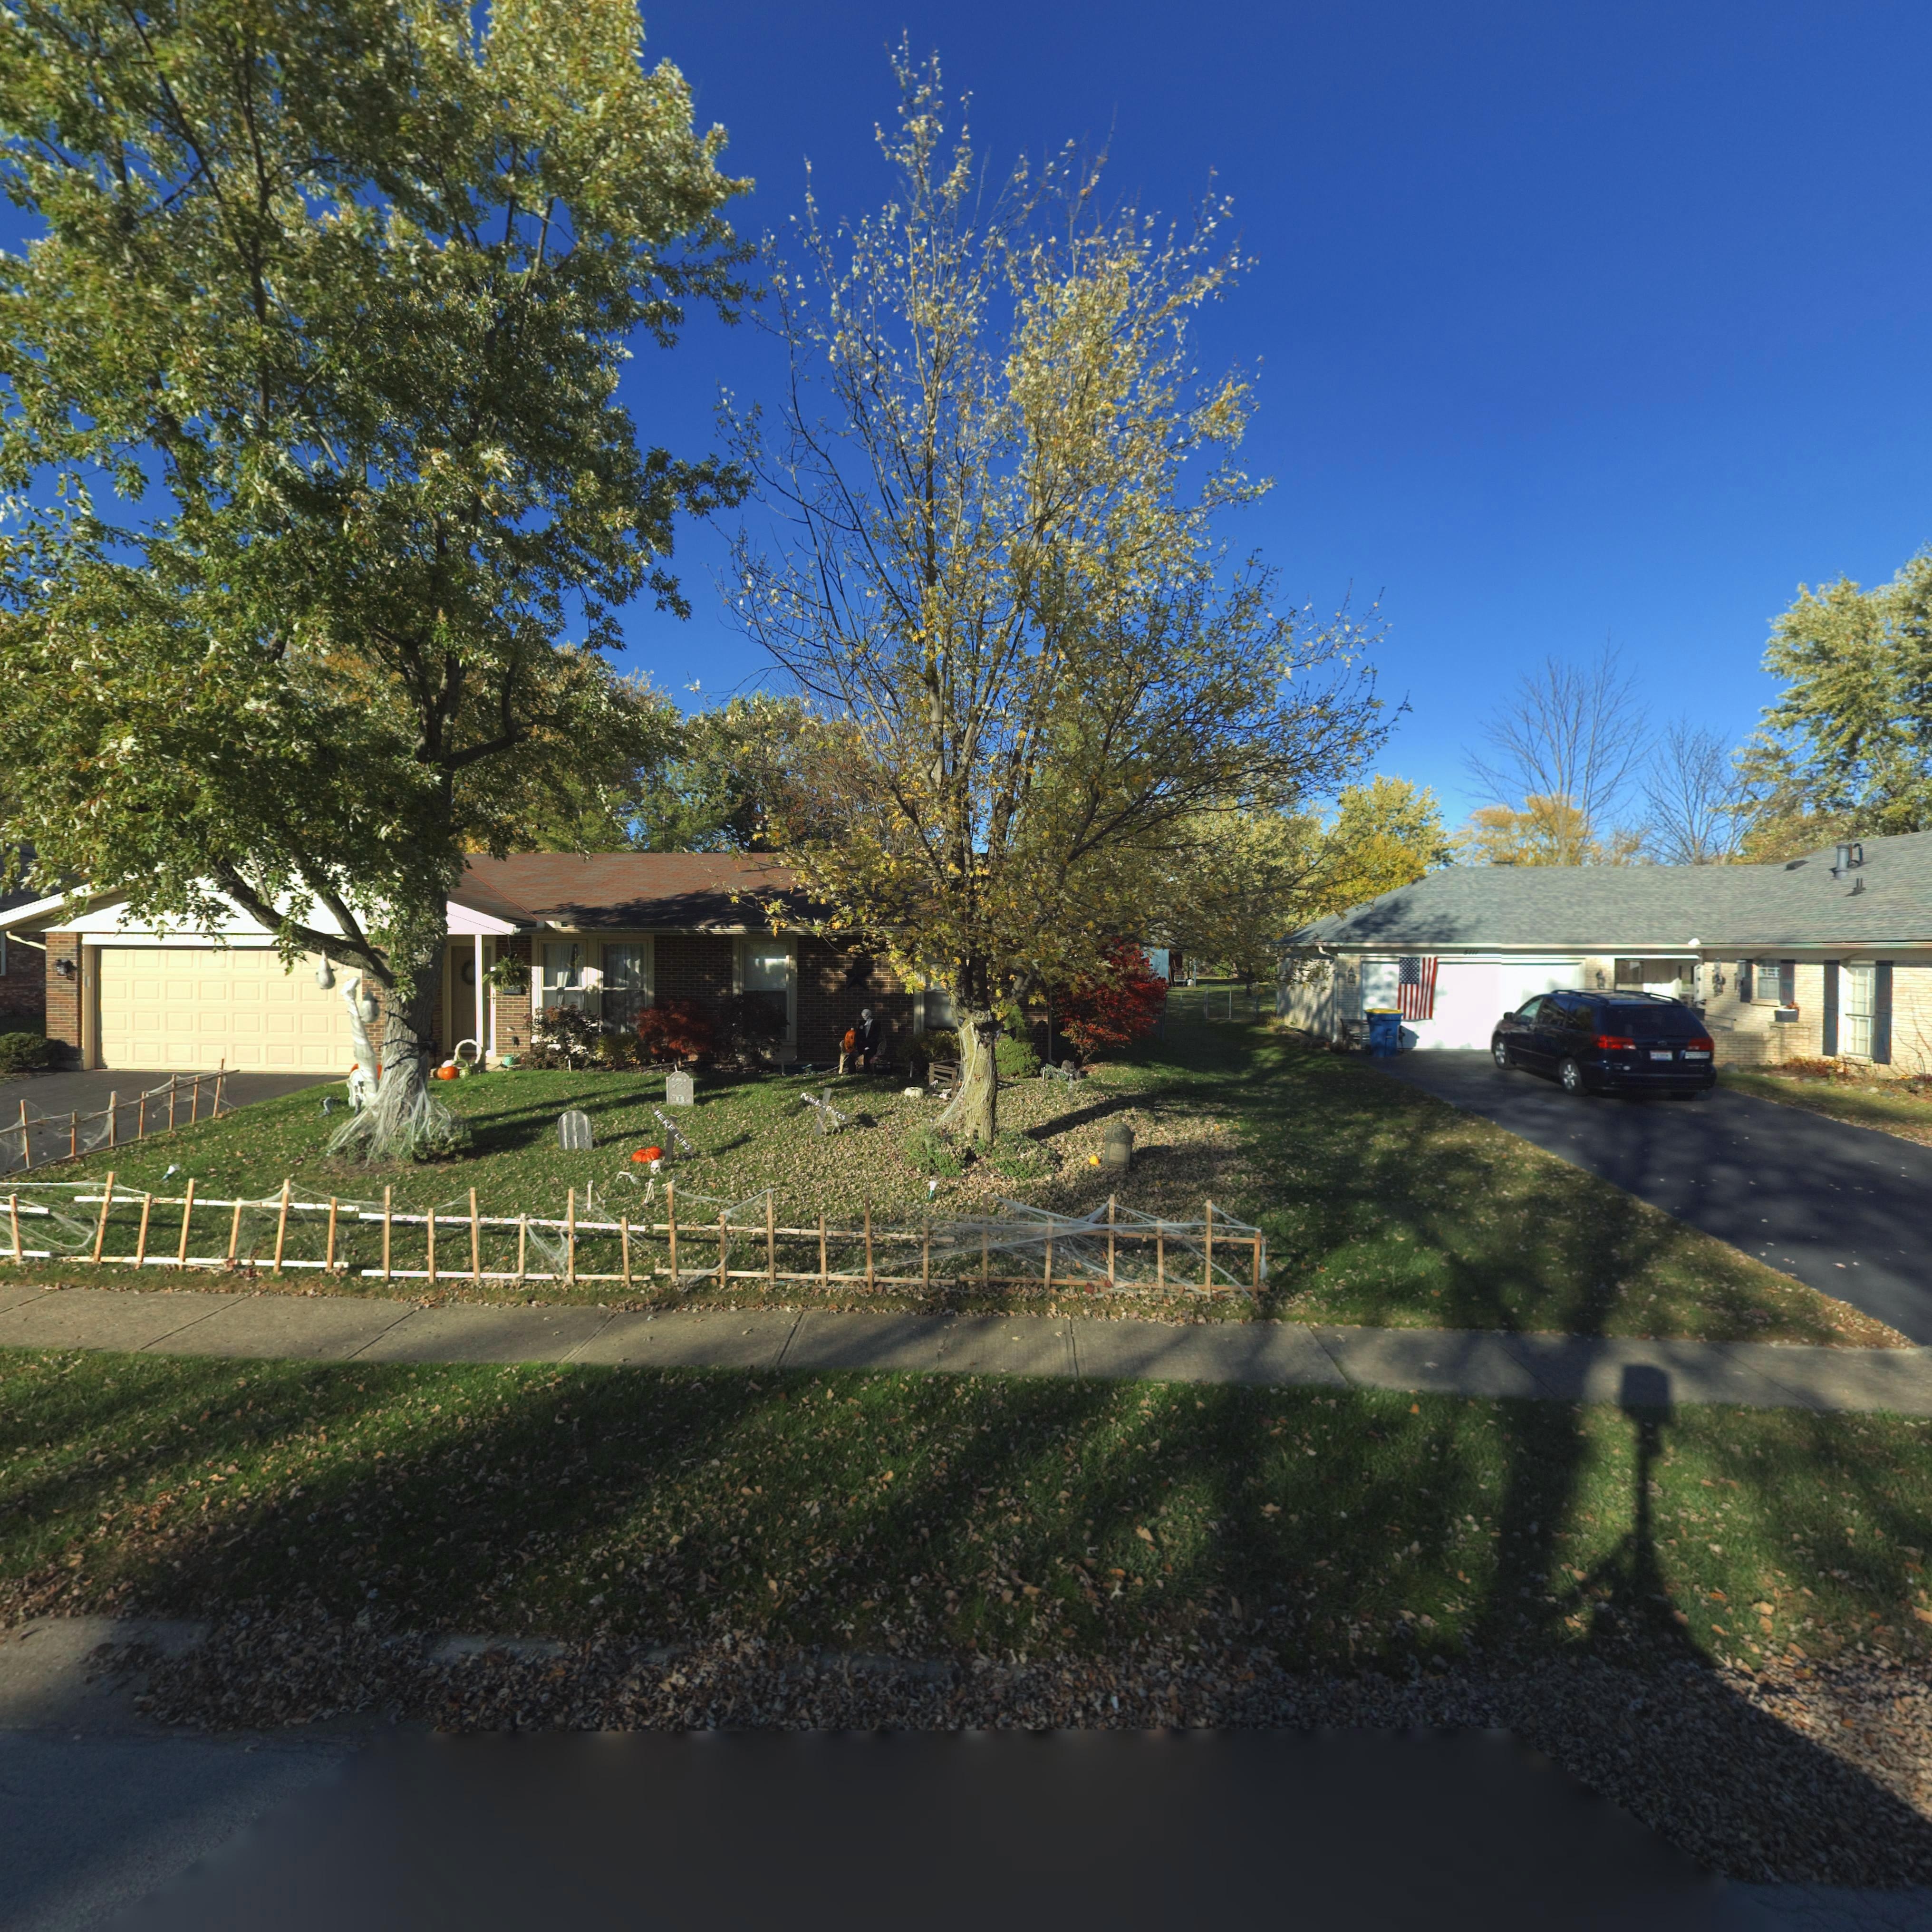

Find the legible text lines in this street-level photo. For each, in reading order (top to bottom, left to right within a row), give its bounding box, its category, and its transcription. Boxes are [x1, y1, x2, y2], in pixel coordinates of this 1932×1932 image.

[1463, 949, 1479, 955] StreetNumber: 5111